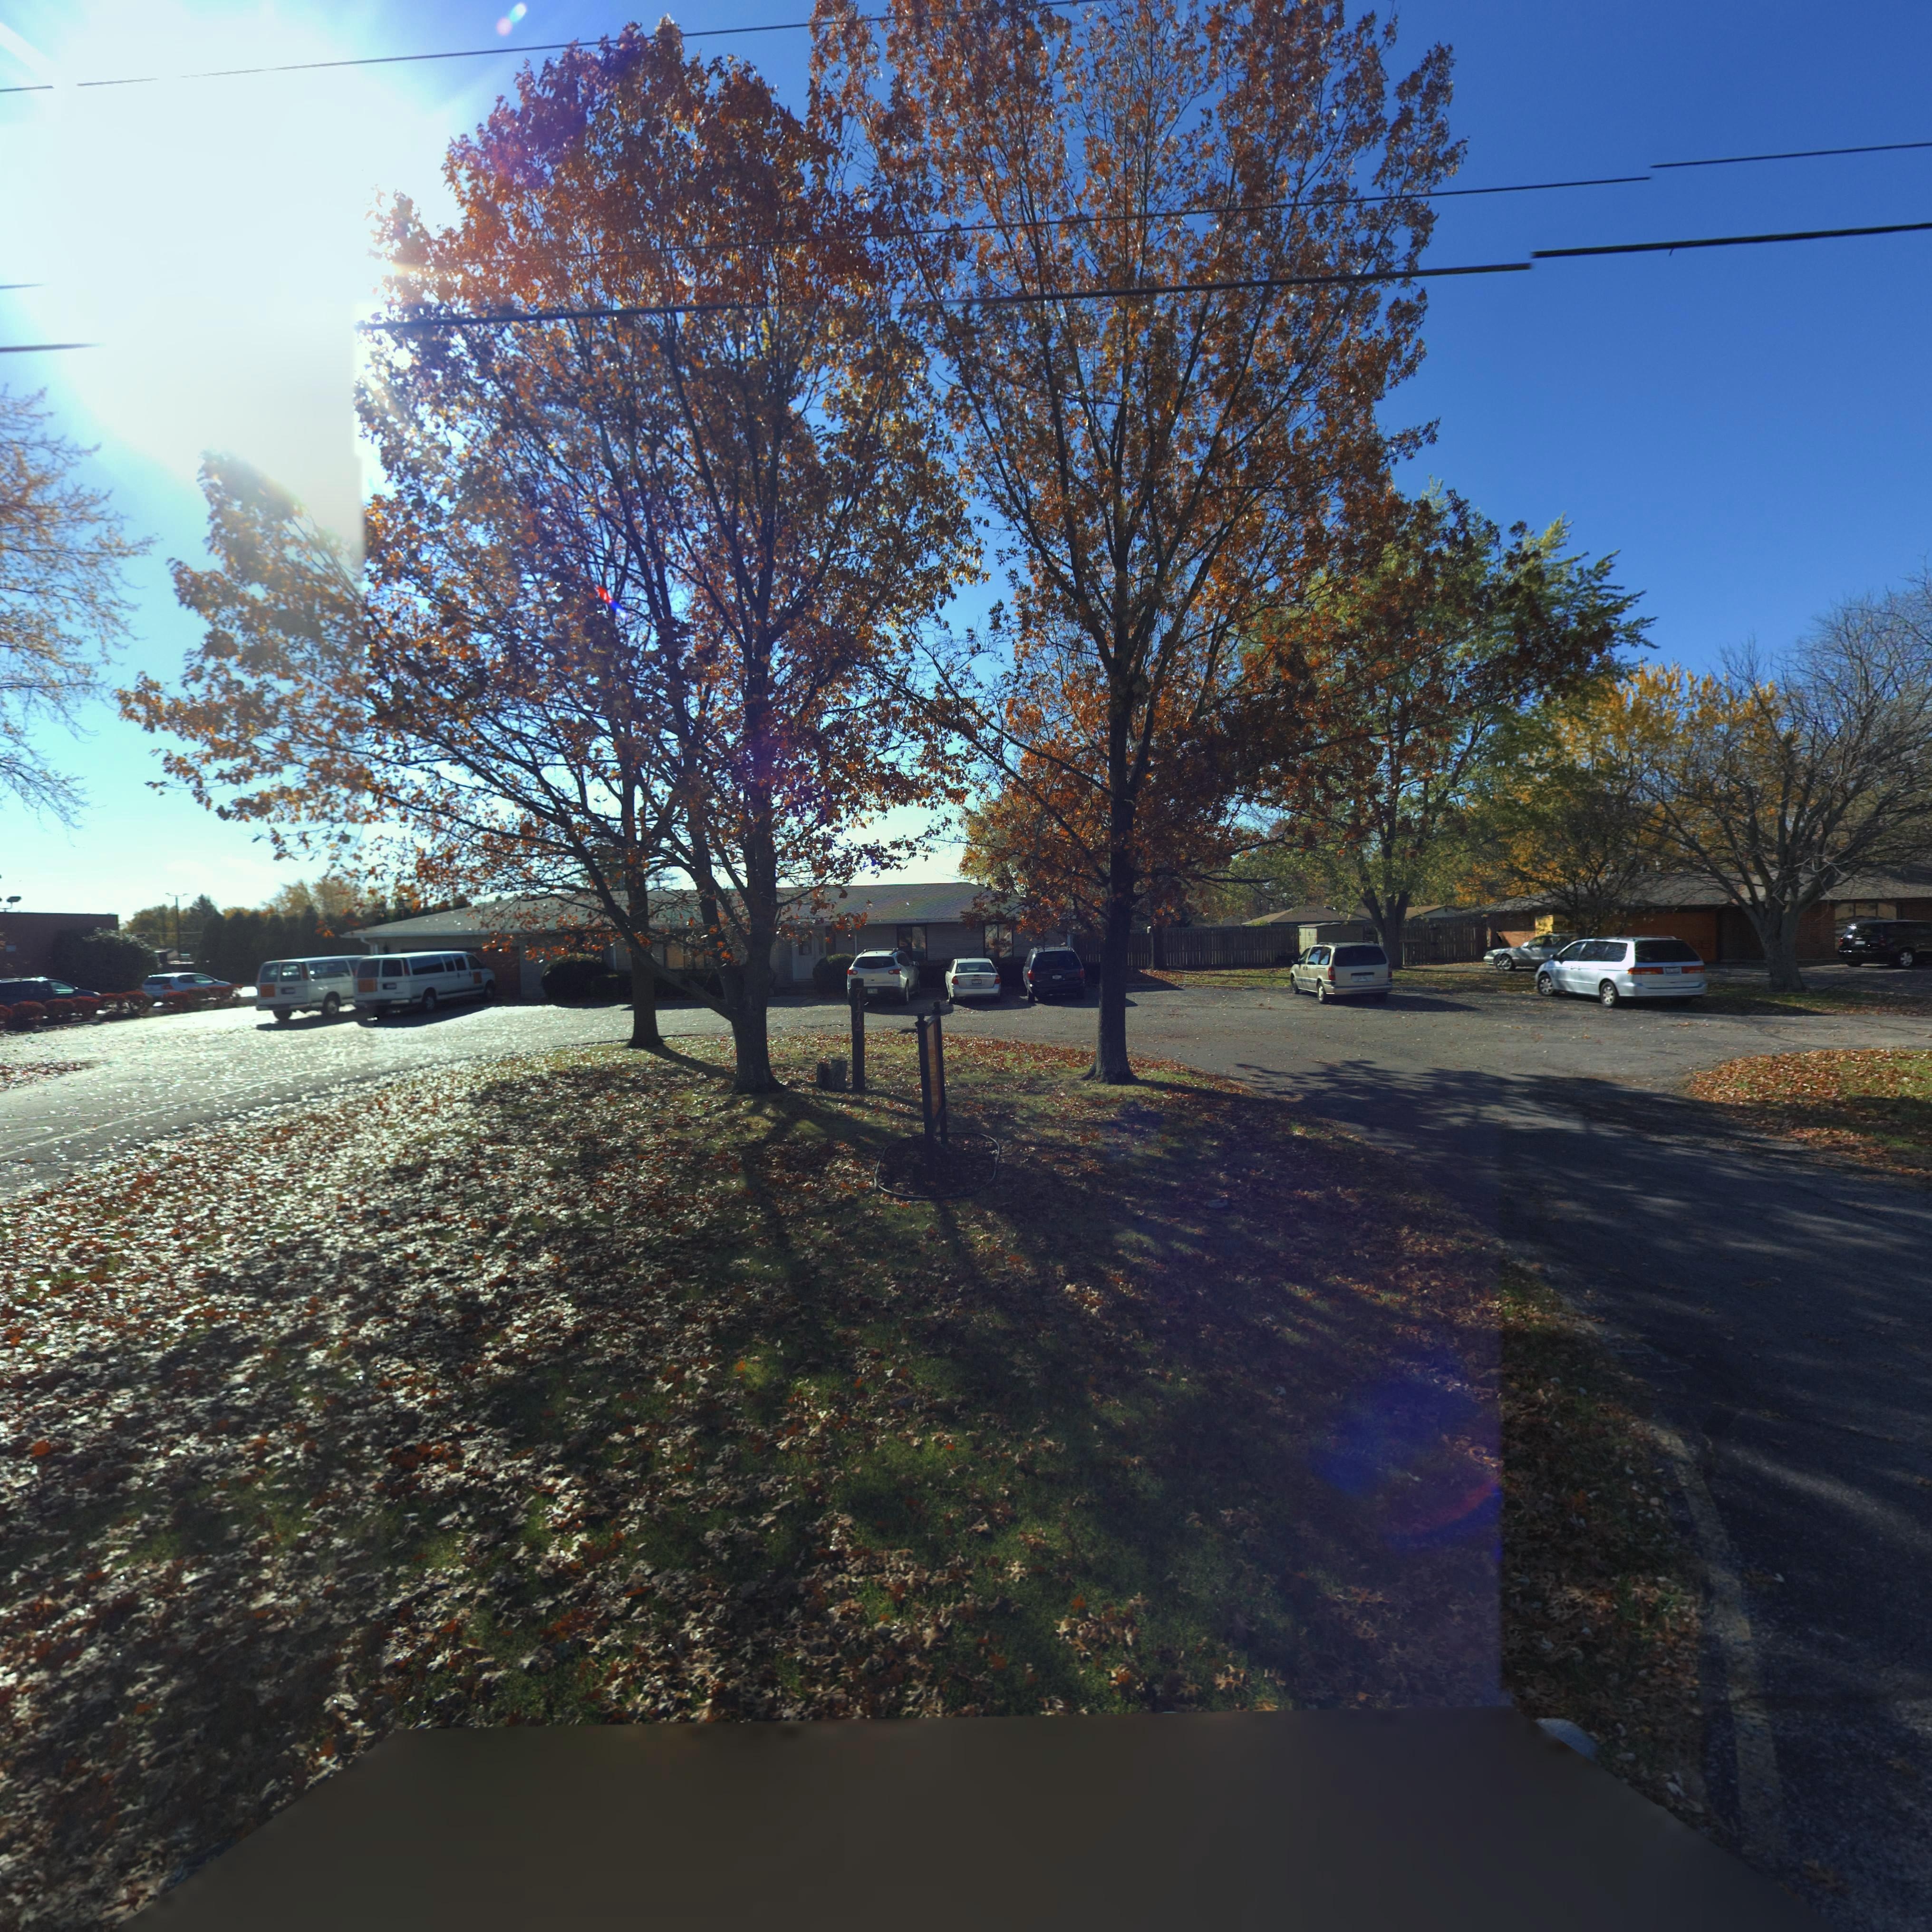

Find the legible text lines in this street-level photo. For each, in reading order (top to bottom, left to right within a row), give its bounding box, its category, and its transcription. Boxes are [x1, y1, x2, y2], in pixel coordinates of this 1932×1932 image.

[854, 987, 864, 1032] StreetNumber: 7172